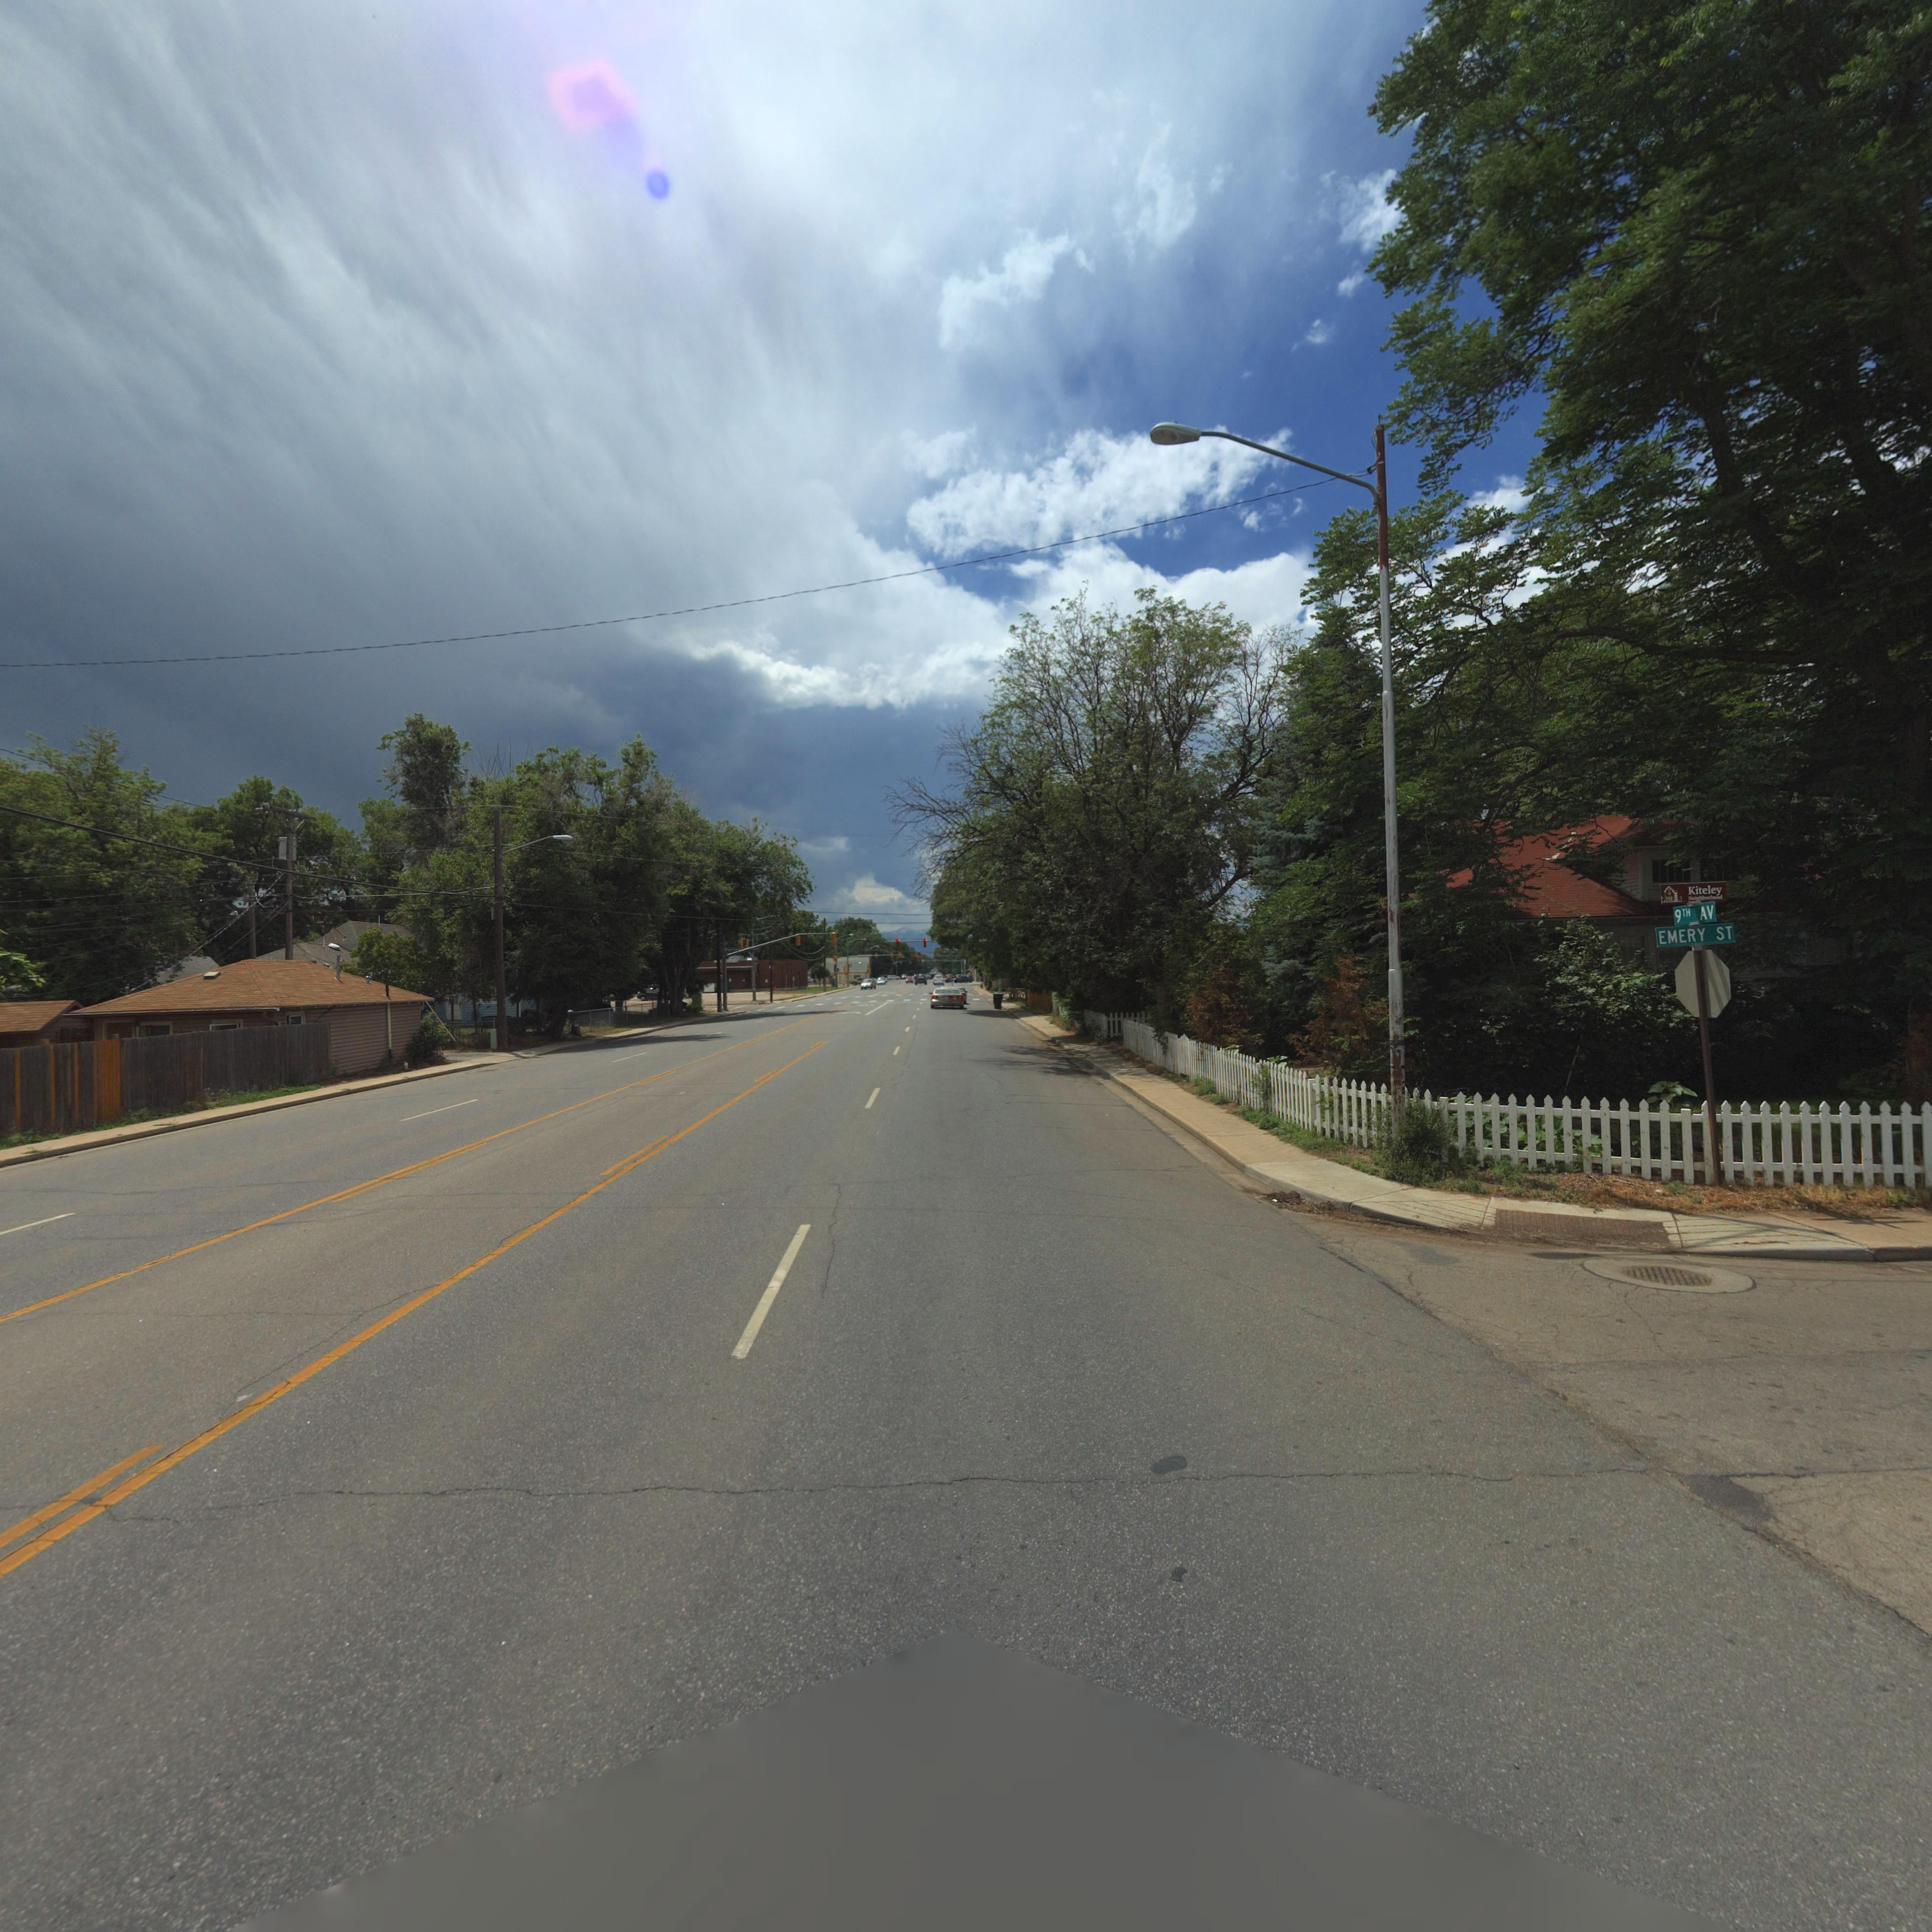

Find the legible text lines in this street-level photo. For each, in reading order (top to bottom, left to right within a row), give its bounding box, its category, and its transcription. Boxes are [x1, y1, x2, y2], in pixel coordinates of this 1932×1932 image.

[1674, 904, 1714, 923] StreetName: 9TH AV
[1658, 926, 1733, 944] StreetName: EMERY ST